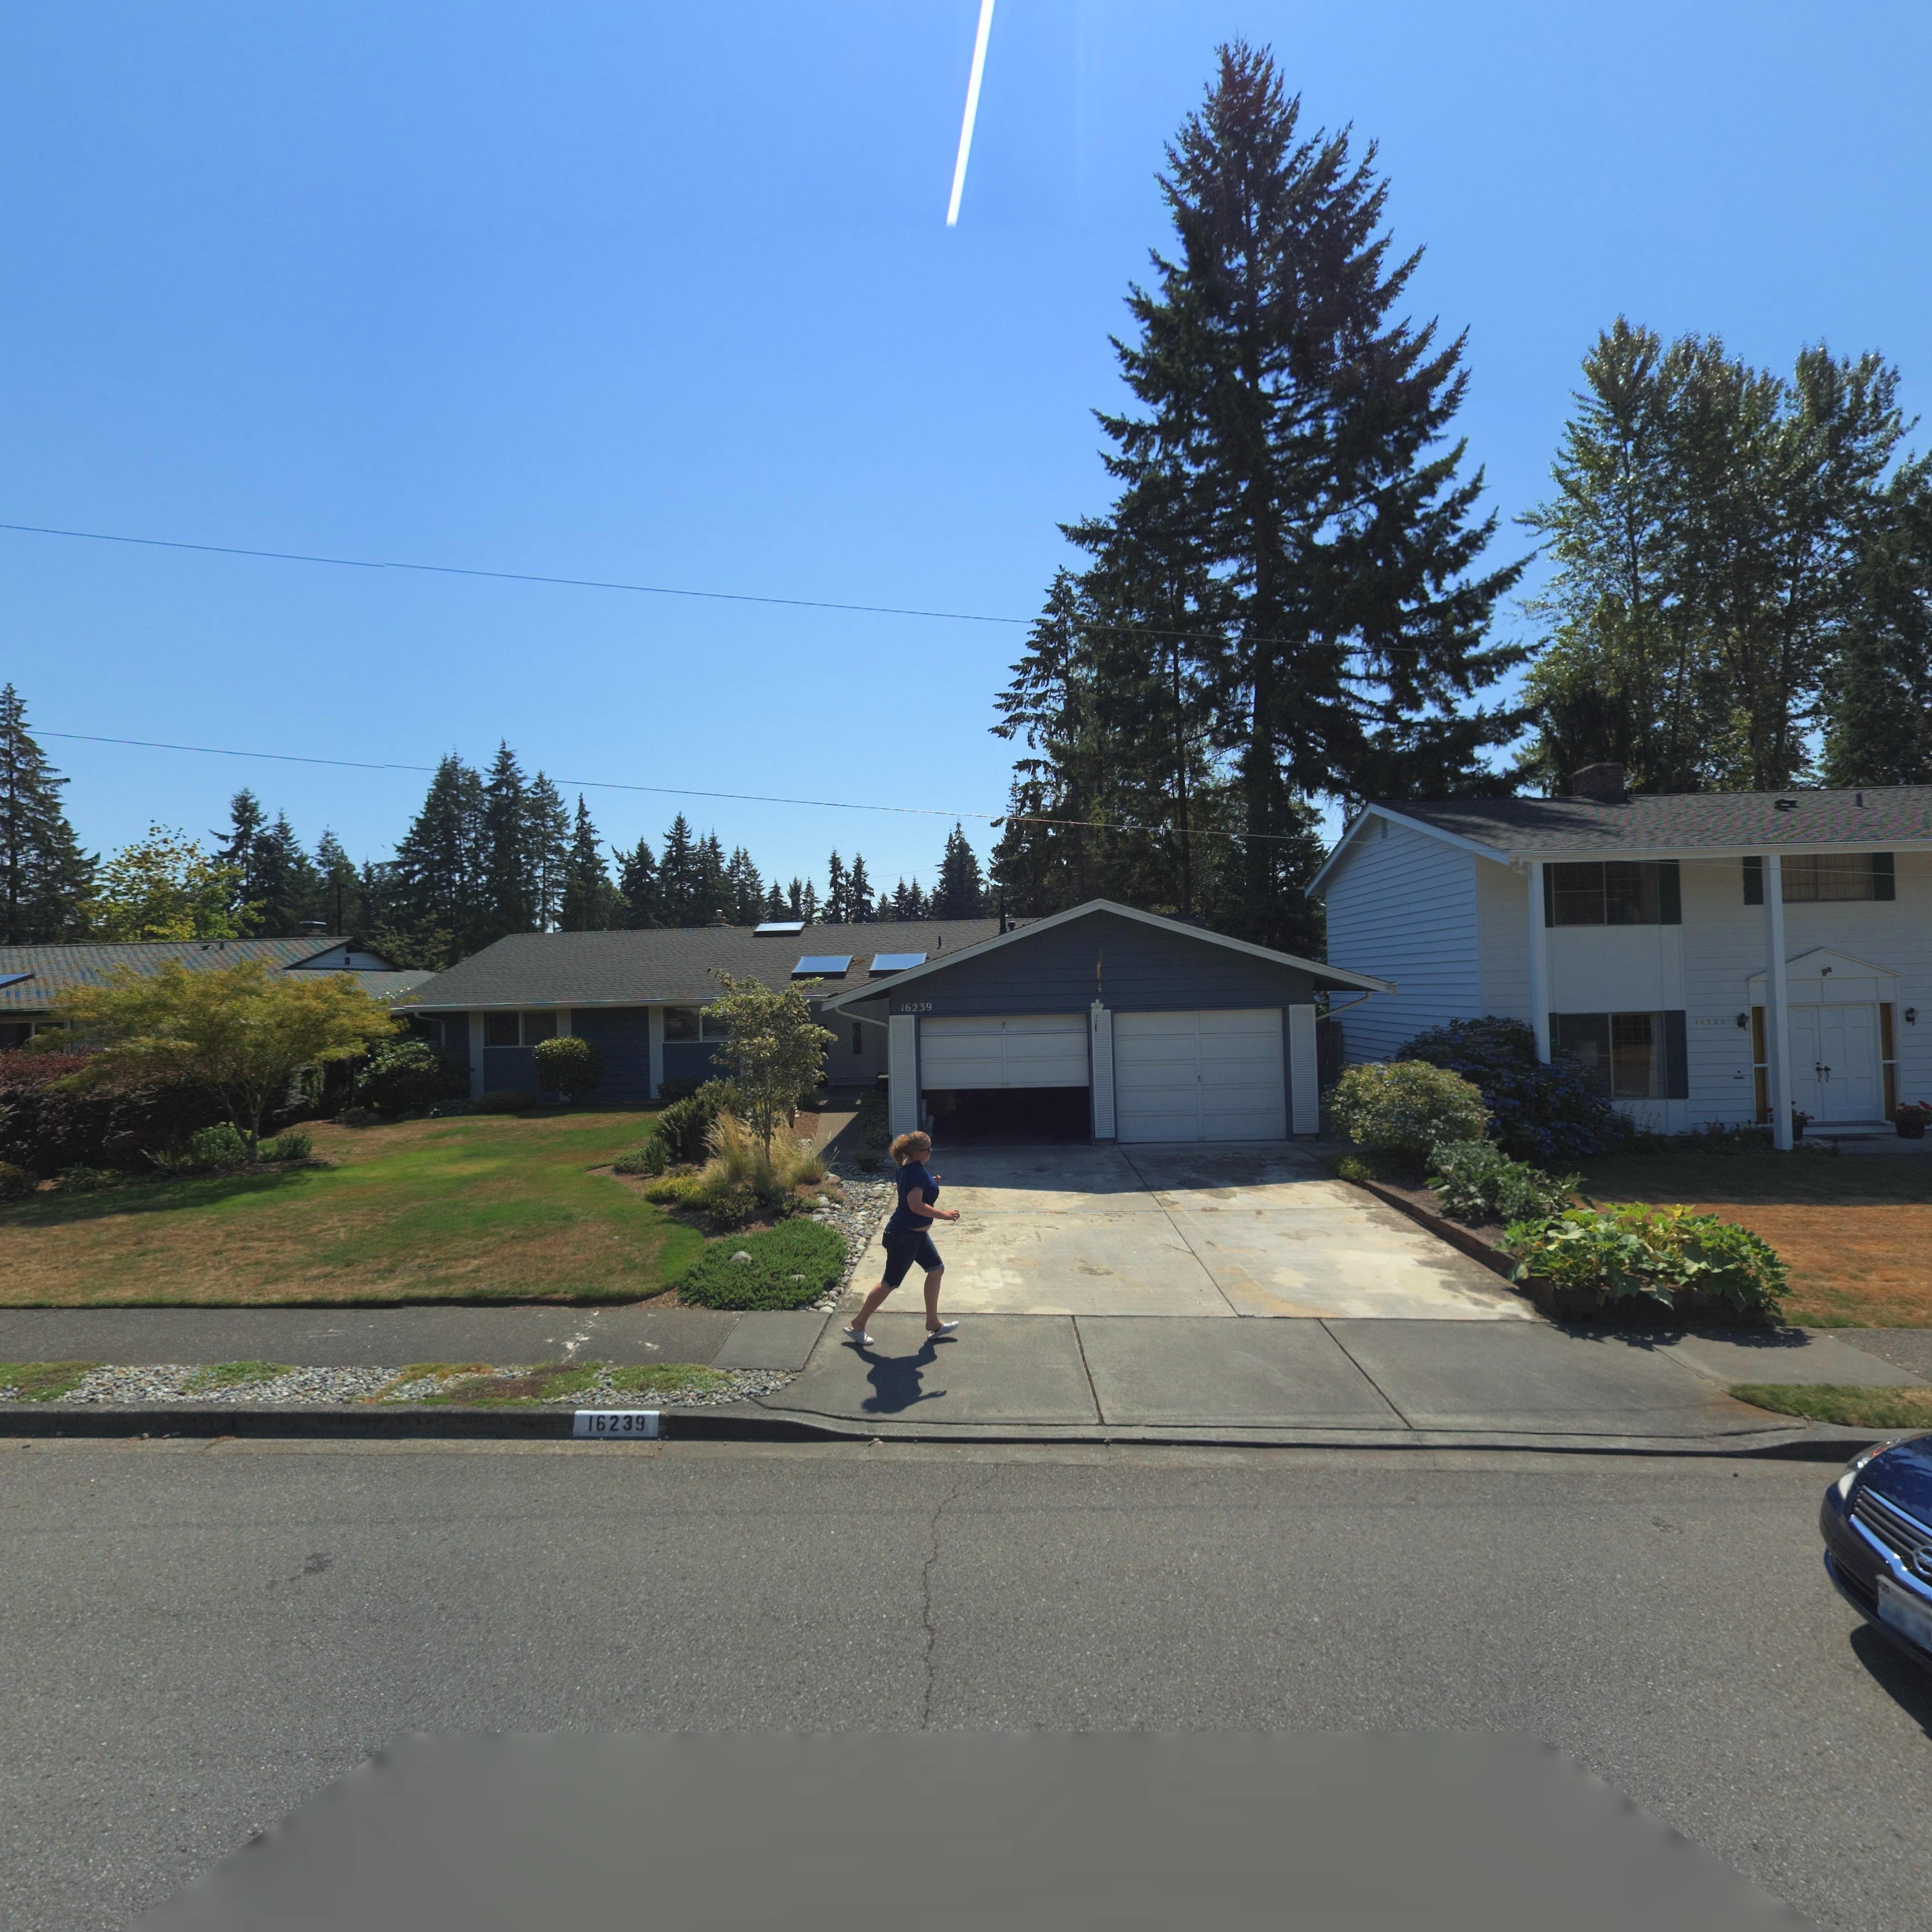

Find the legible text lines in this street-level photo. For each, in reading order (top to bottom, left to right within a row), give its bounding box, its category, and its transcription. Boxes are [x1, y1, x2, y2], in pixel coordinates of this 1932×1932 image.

[900, 1001, 933, 1013] StreetNumber: 16239
[1694, 1018, 1725, 1025] StreetNumber: 1*223
[589, 1415, 644, 1431] StreetNumber: 16239